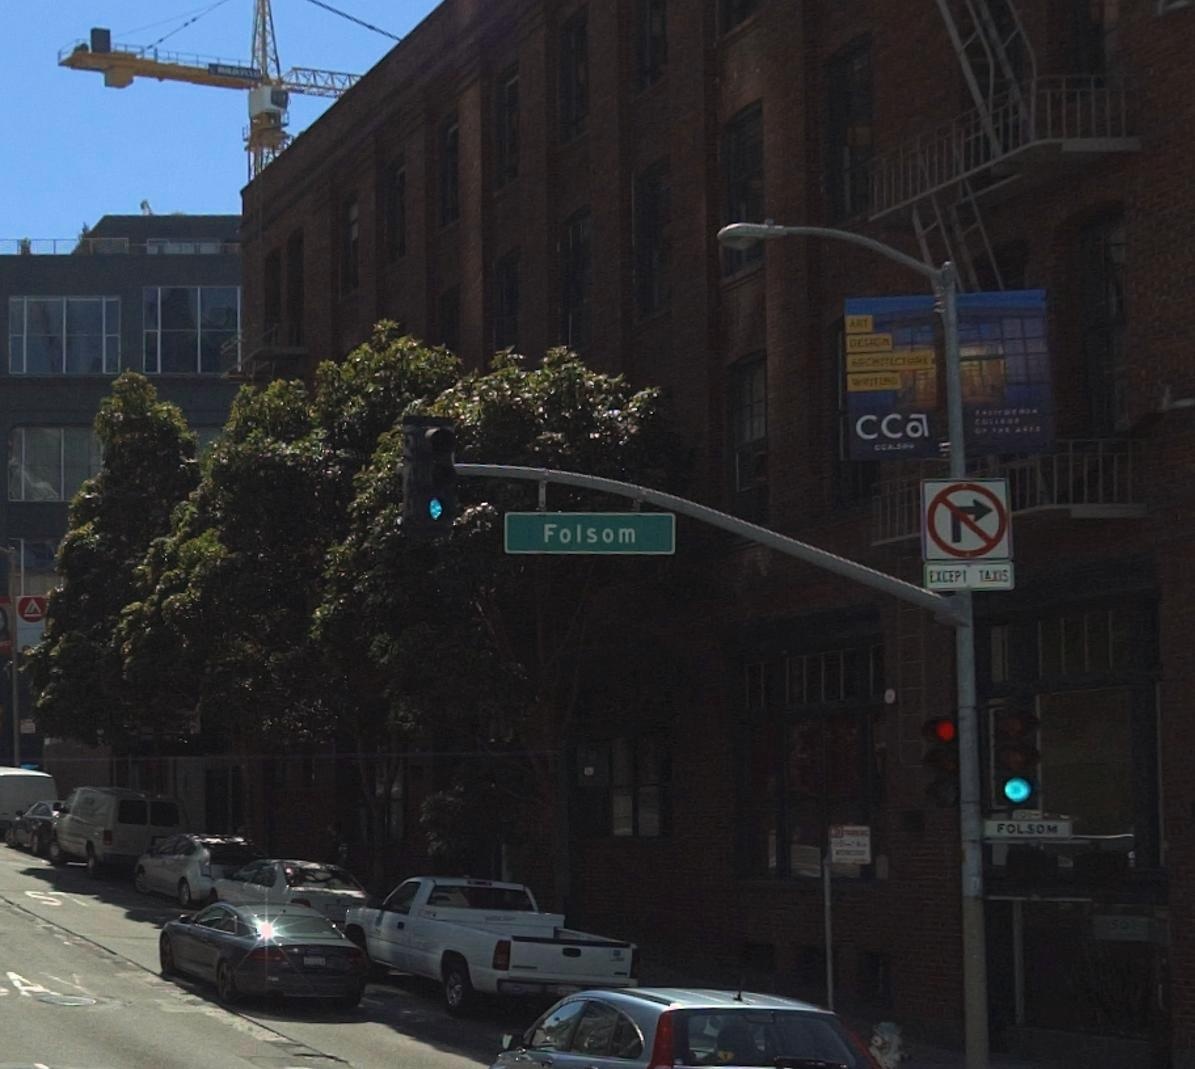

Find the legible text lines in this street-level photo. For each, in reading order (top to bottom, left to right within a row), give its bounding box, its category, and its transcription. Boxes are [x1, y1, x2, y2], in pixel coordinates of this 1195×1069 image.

[853, 412, 933, 441] None: CC*
[541, 521, 639, 549] StreetName: Folsom
[926, 565, 1013, 586] None: EXCEPT TAXIS
[994, 822, 1059, 834] StreetName: FOLSOM